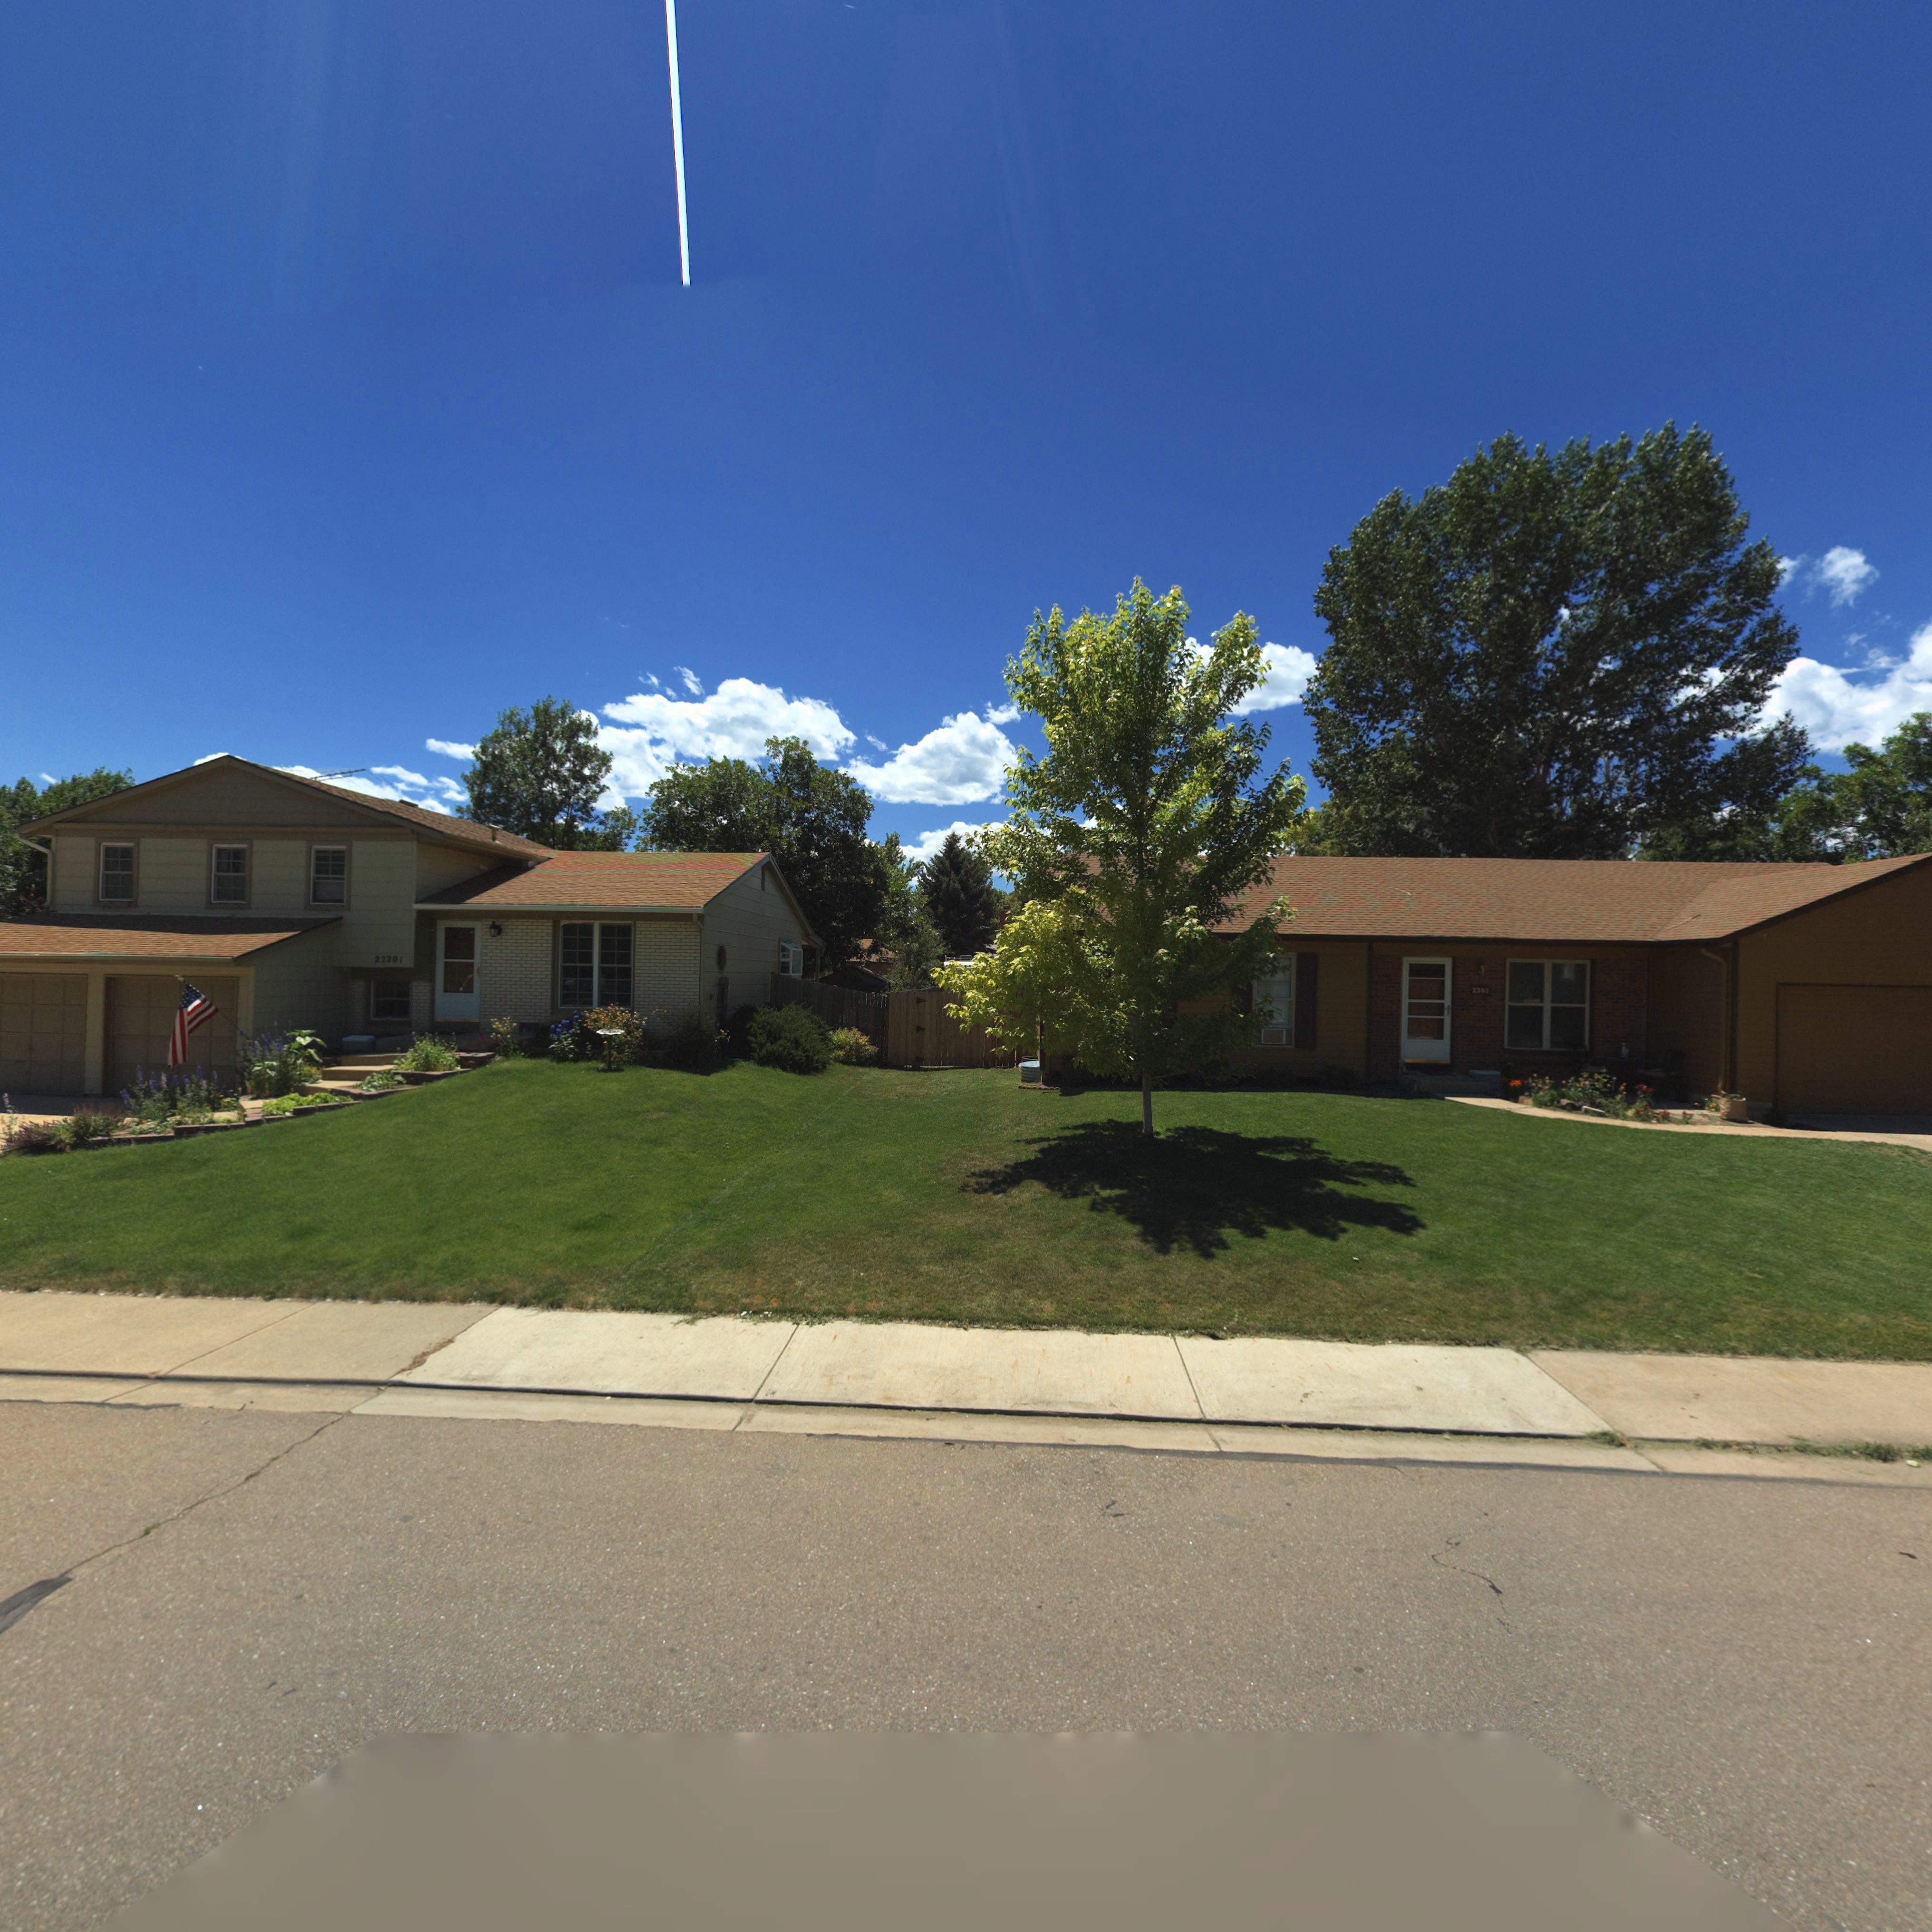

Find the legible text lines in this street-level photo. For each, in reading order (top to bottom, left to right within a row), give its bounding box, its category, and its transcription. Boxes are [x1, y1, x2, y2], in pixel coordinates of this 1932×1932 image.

[374, 955, 403, 963] StreetNumber: 22201
[1472, 987, 1489, 994] StreetNumber: 2207